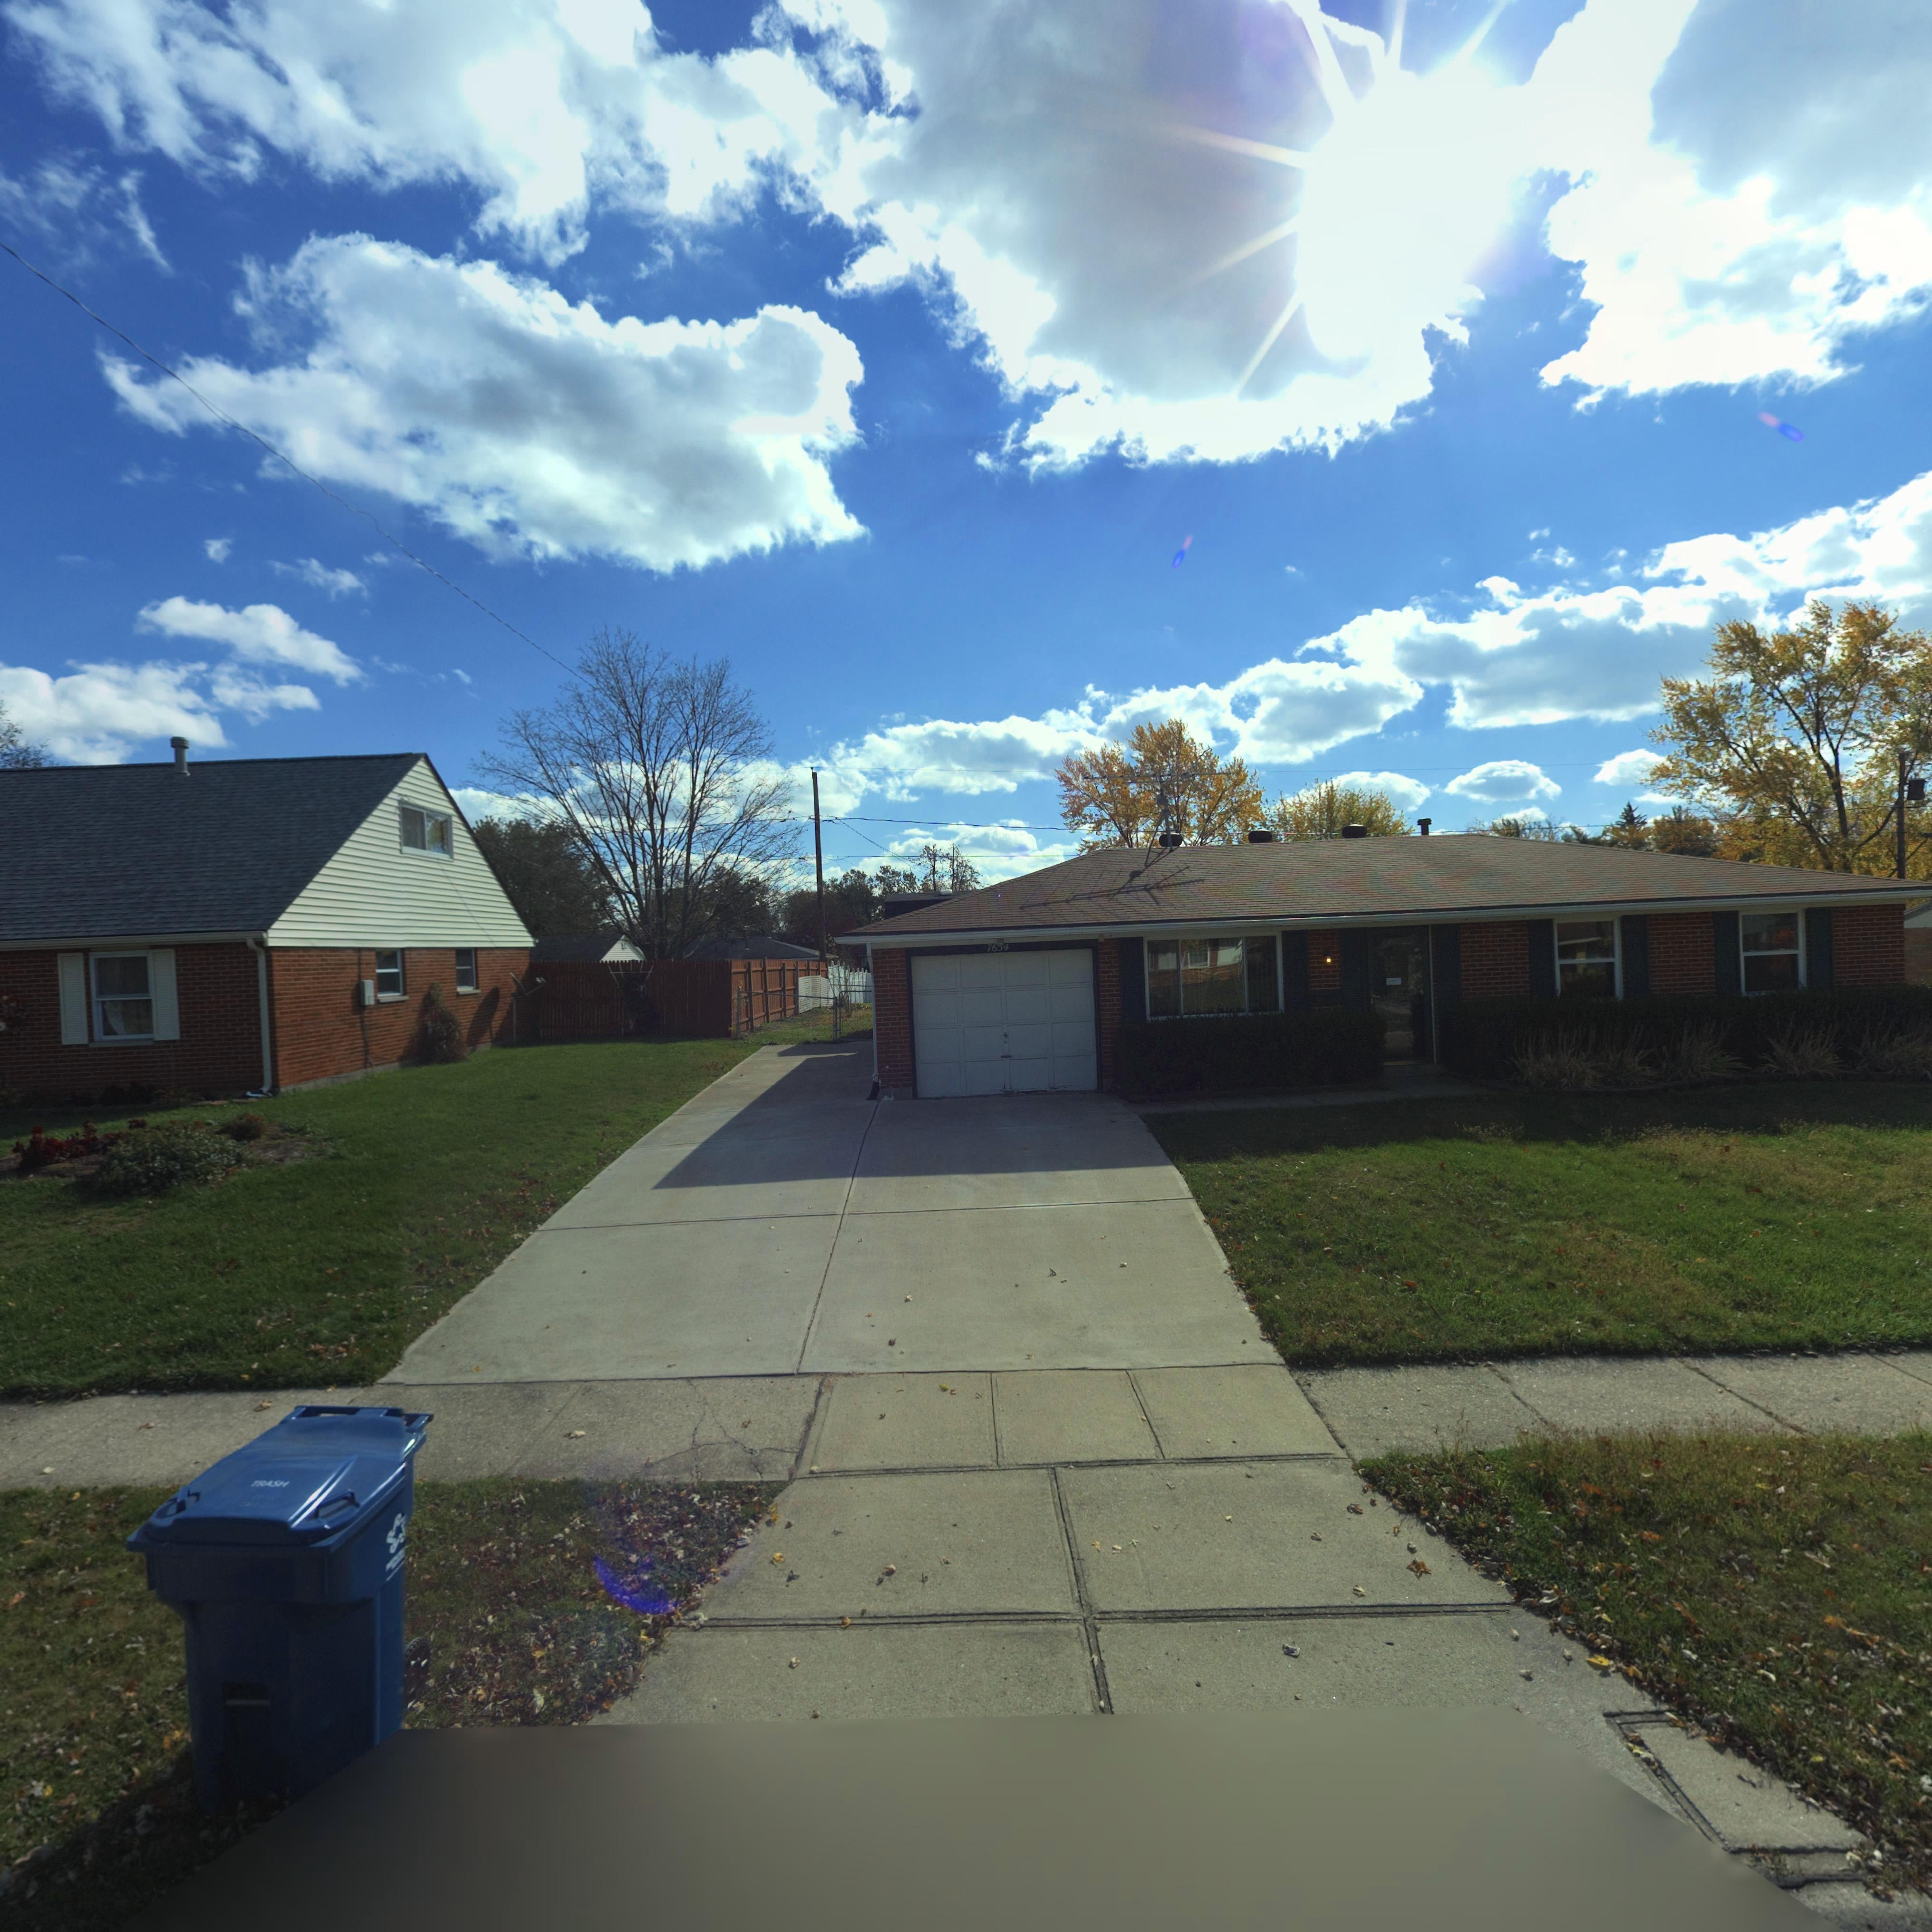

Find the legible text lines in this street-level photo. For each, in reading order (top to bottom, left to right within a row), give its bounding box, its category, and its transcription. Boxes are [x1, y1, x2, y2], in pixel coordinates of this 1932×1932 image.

[986, 943, 1010, 953] StreetNumber: 76*4